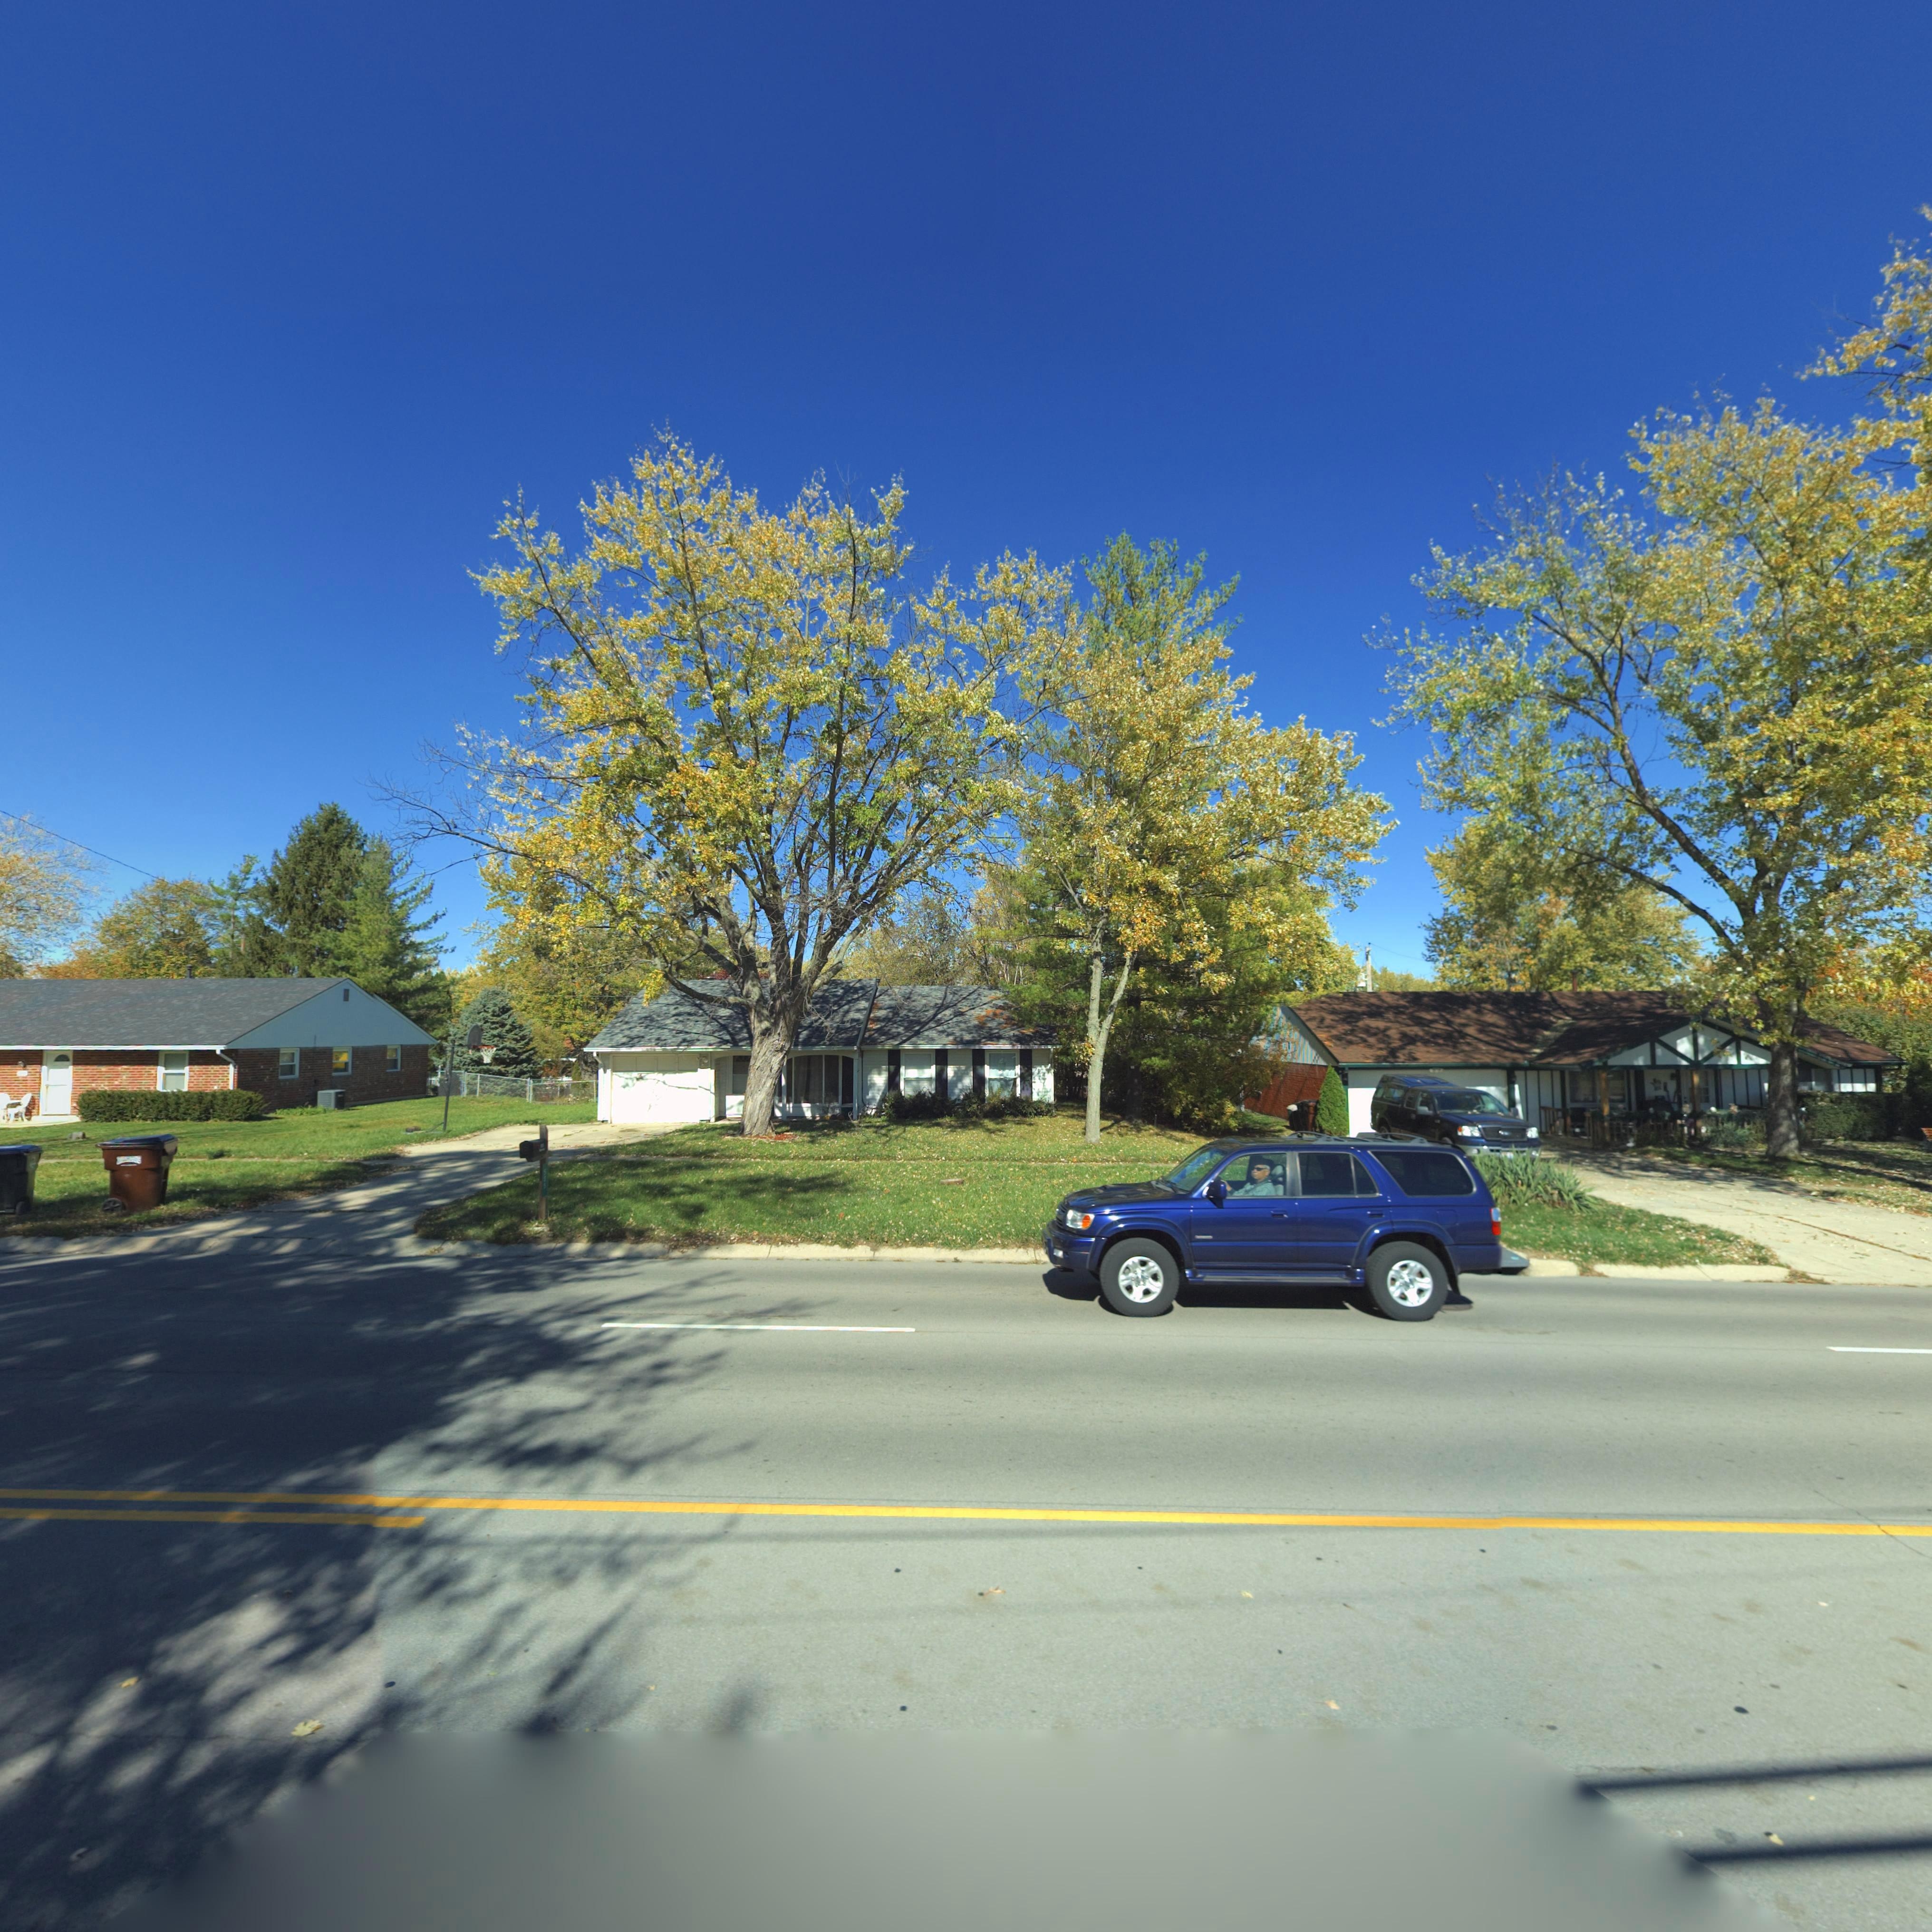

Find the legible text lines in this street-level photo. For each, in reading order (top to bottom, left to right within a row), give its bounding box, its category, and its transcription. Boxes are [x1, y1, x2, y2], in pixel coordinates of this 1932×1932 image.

[543, 1168, 547, 1190] StreetNumber: 5*5